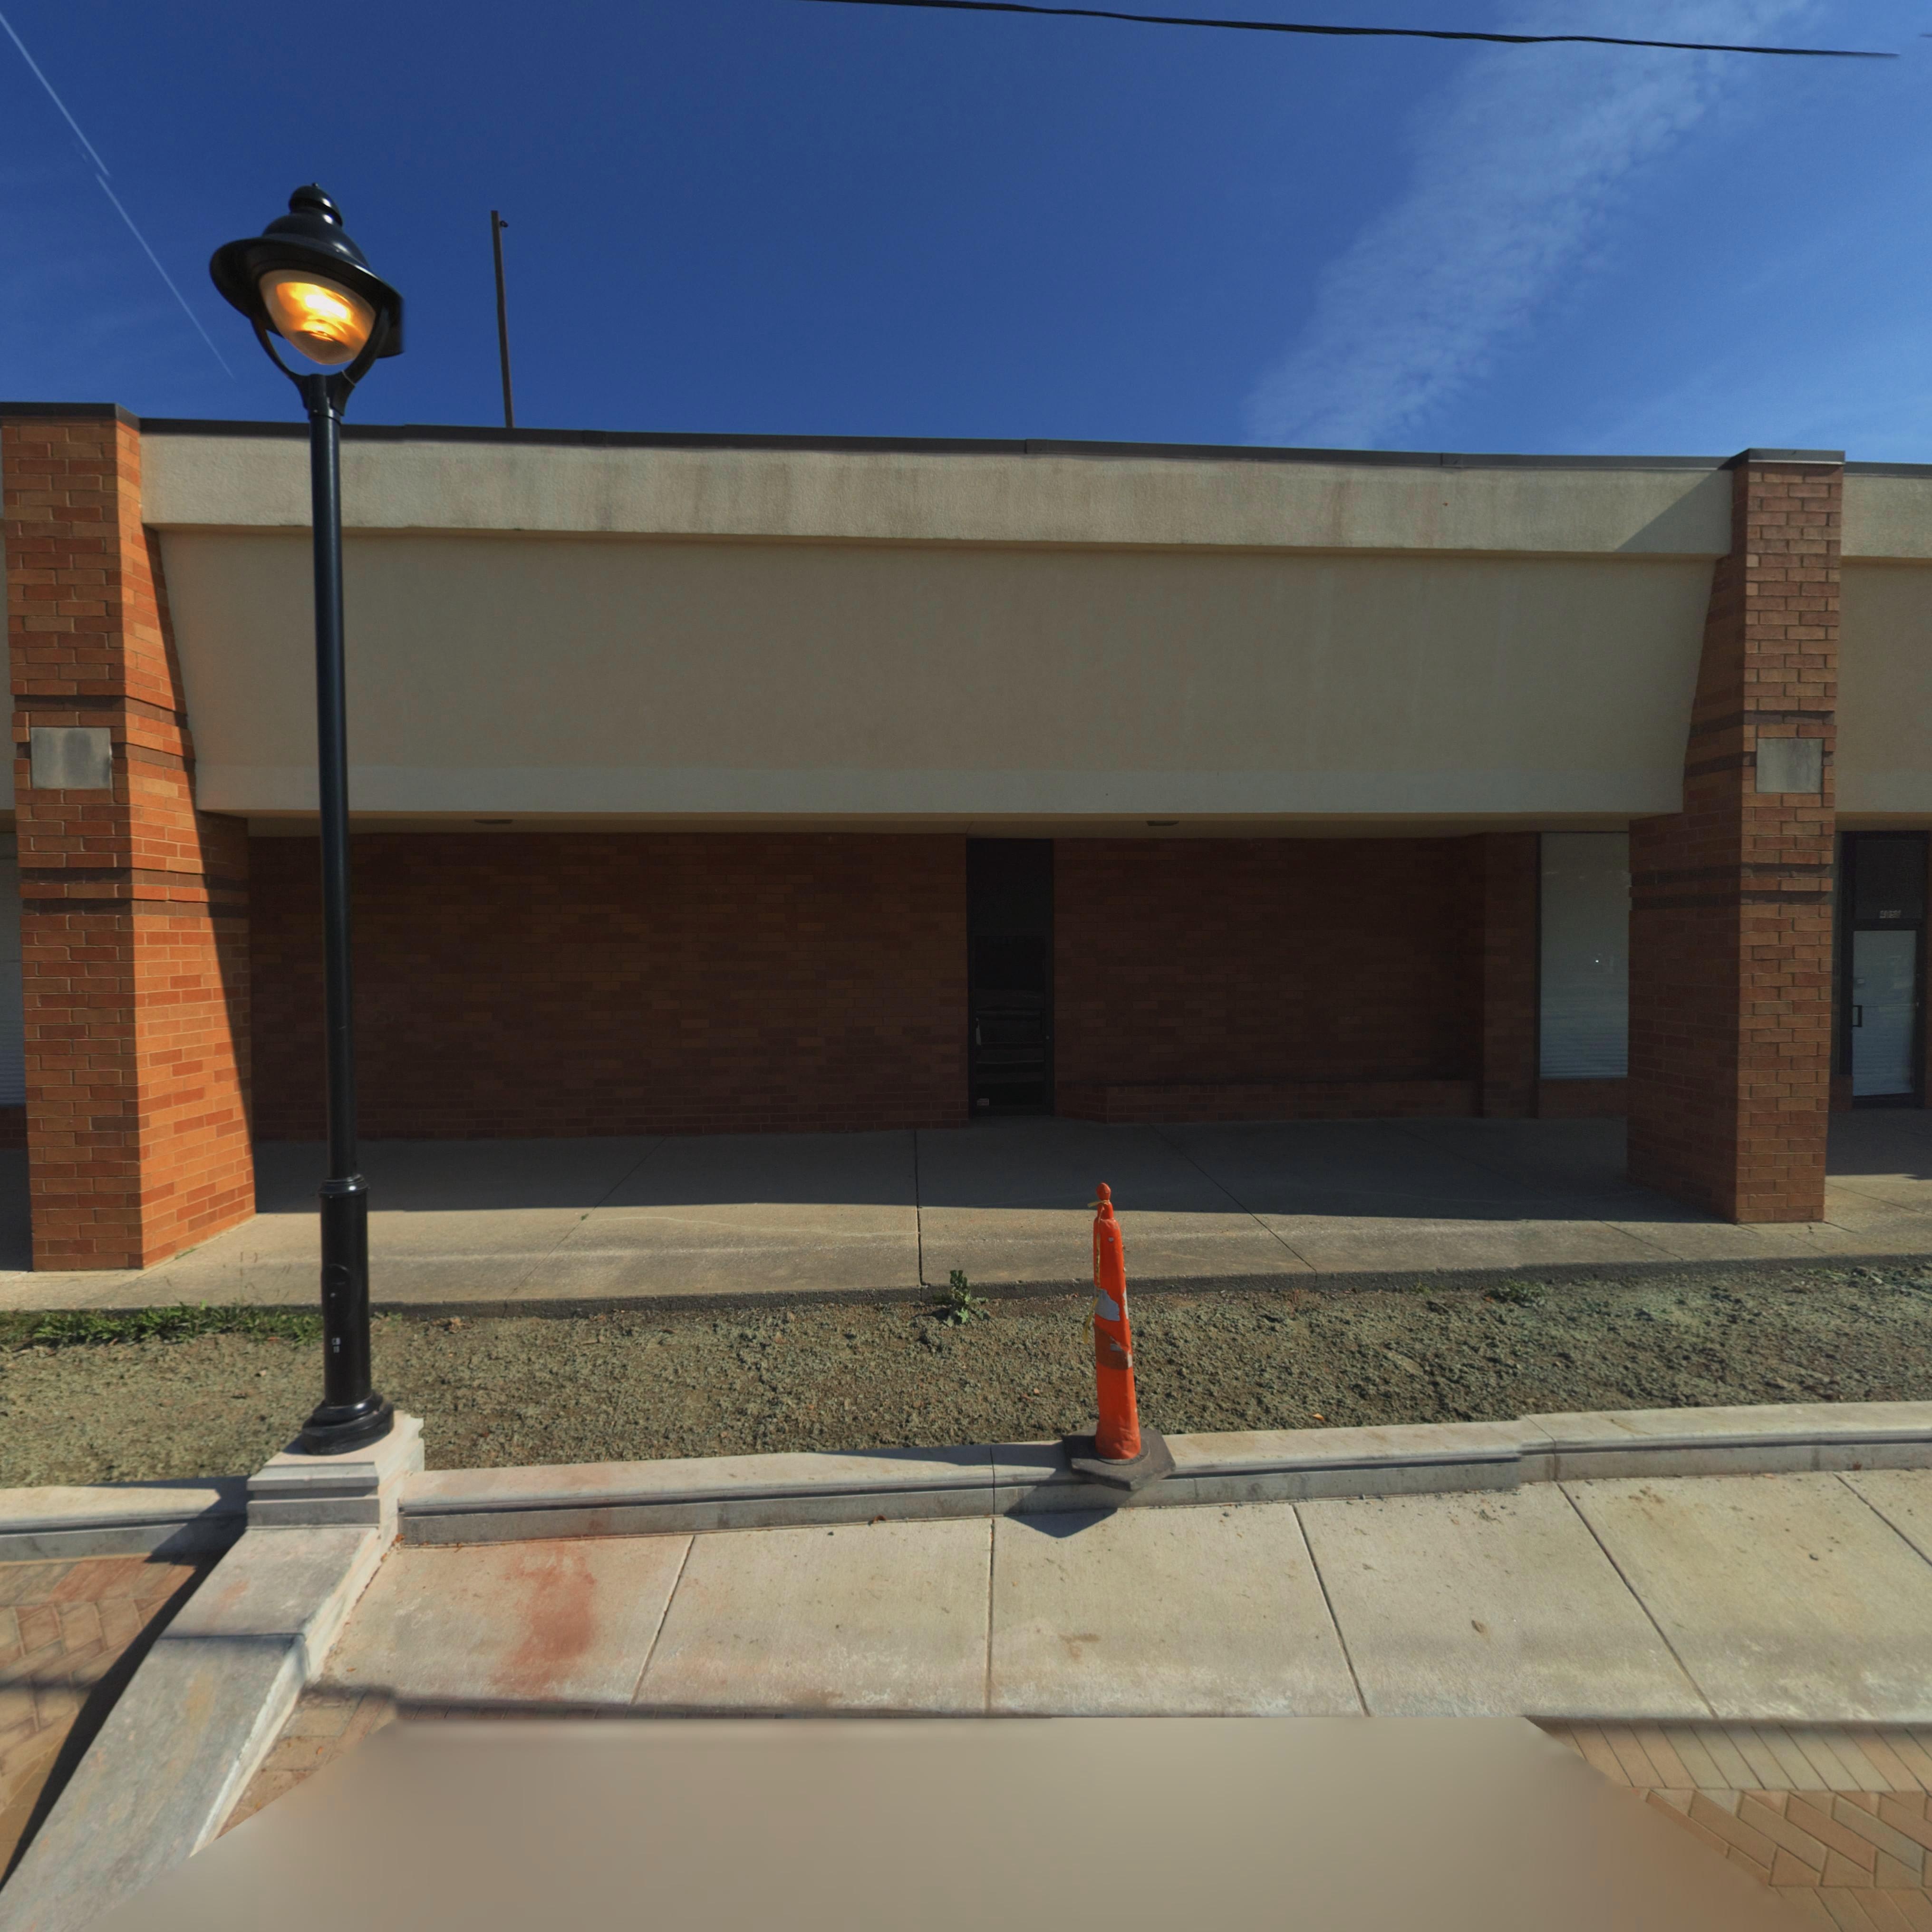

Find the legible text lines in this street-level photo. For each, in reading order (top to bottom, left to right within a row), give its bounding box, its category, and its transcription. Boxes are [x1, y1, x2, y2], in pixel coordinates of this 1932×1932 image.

[1879, 910, 1902, 919] StreetNumber: 4*58